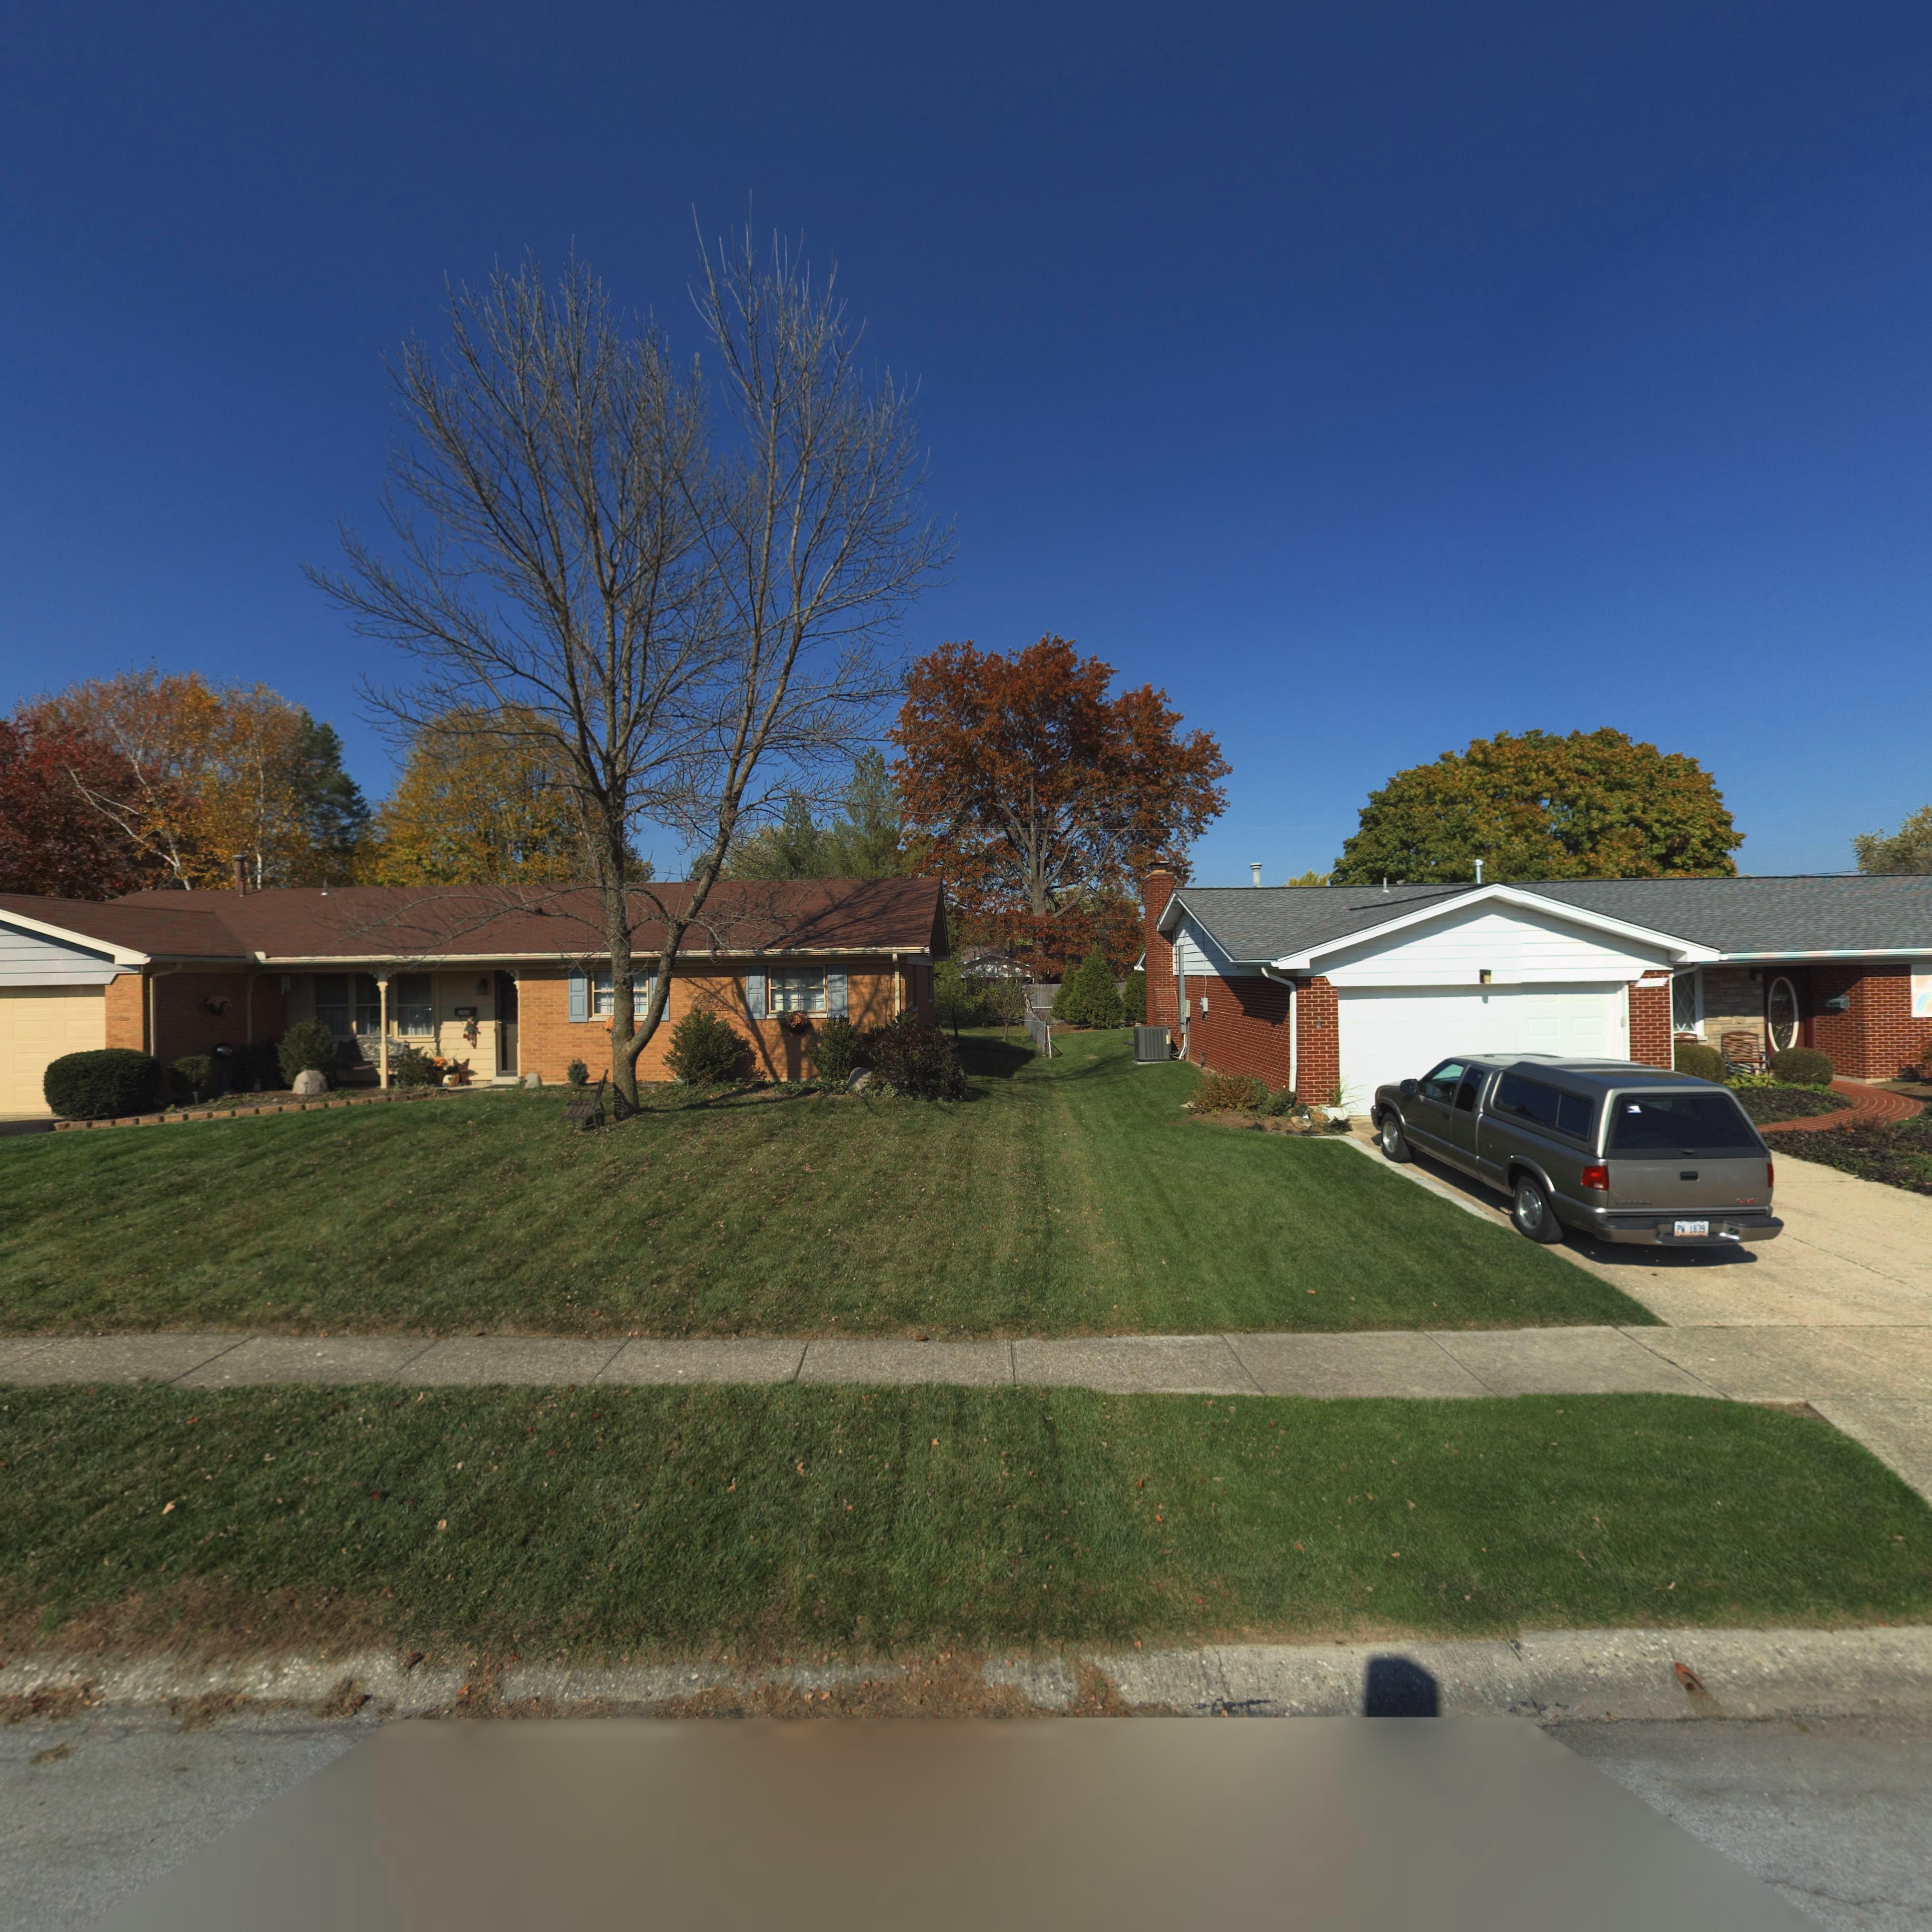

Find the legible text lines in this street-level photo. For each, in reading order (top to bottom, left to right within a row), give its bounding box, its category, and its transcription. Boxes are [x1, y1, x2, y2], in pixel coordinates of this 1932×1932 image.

[1644, 979, 1660, 985] StreetNumber: *007